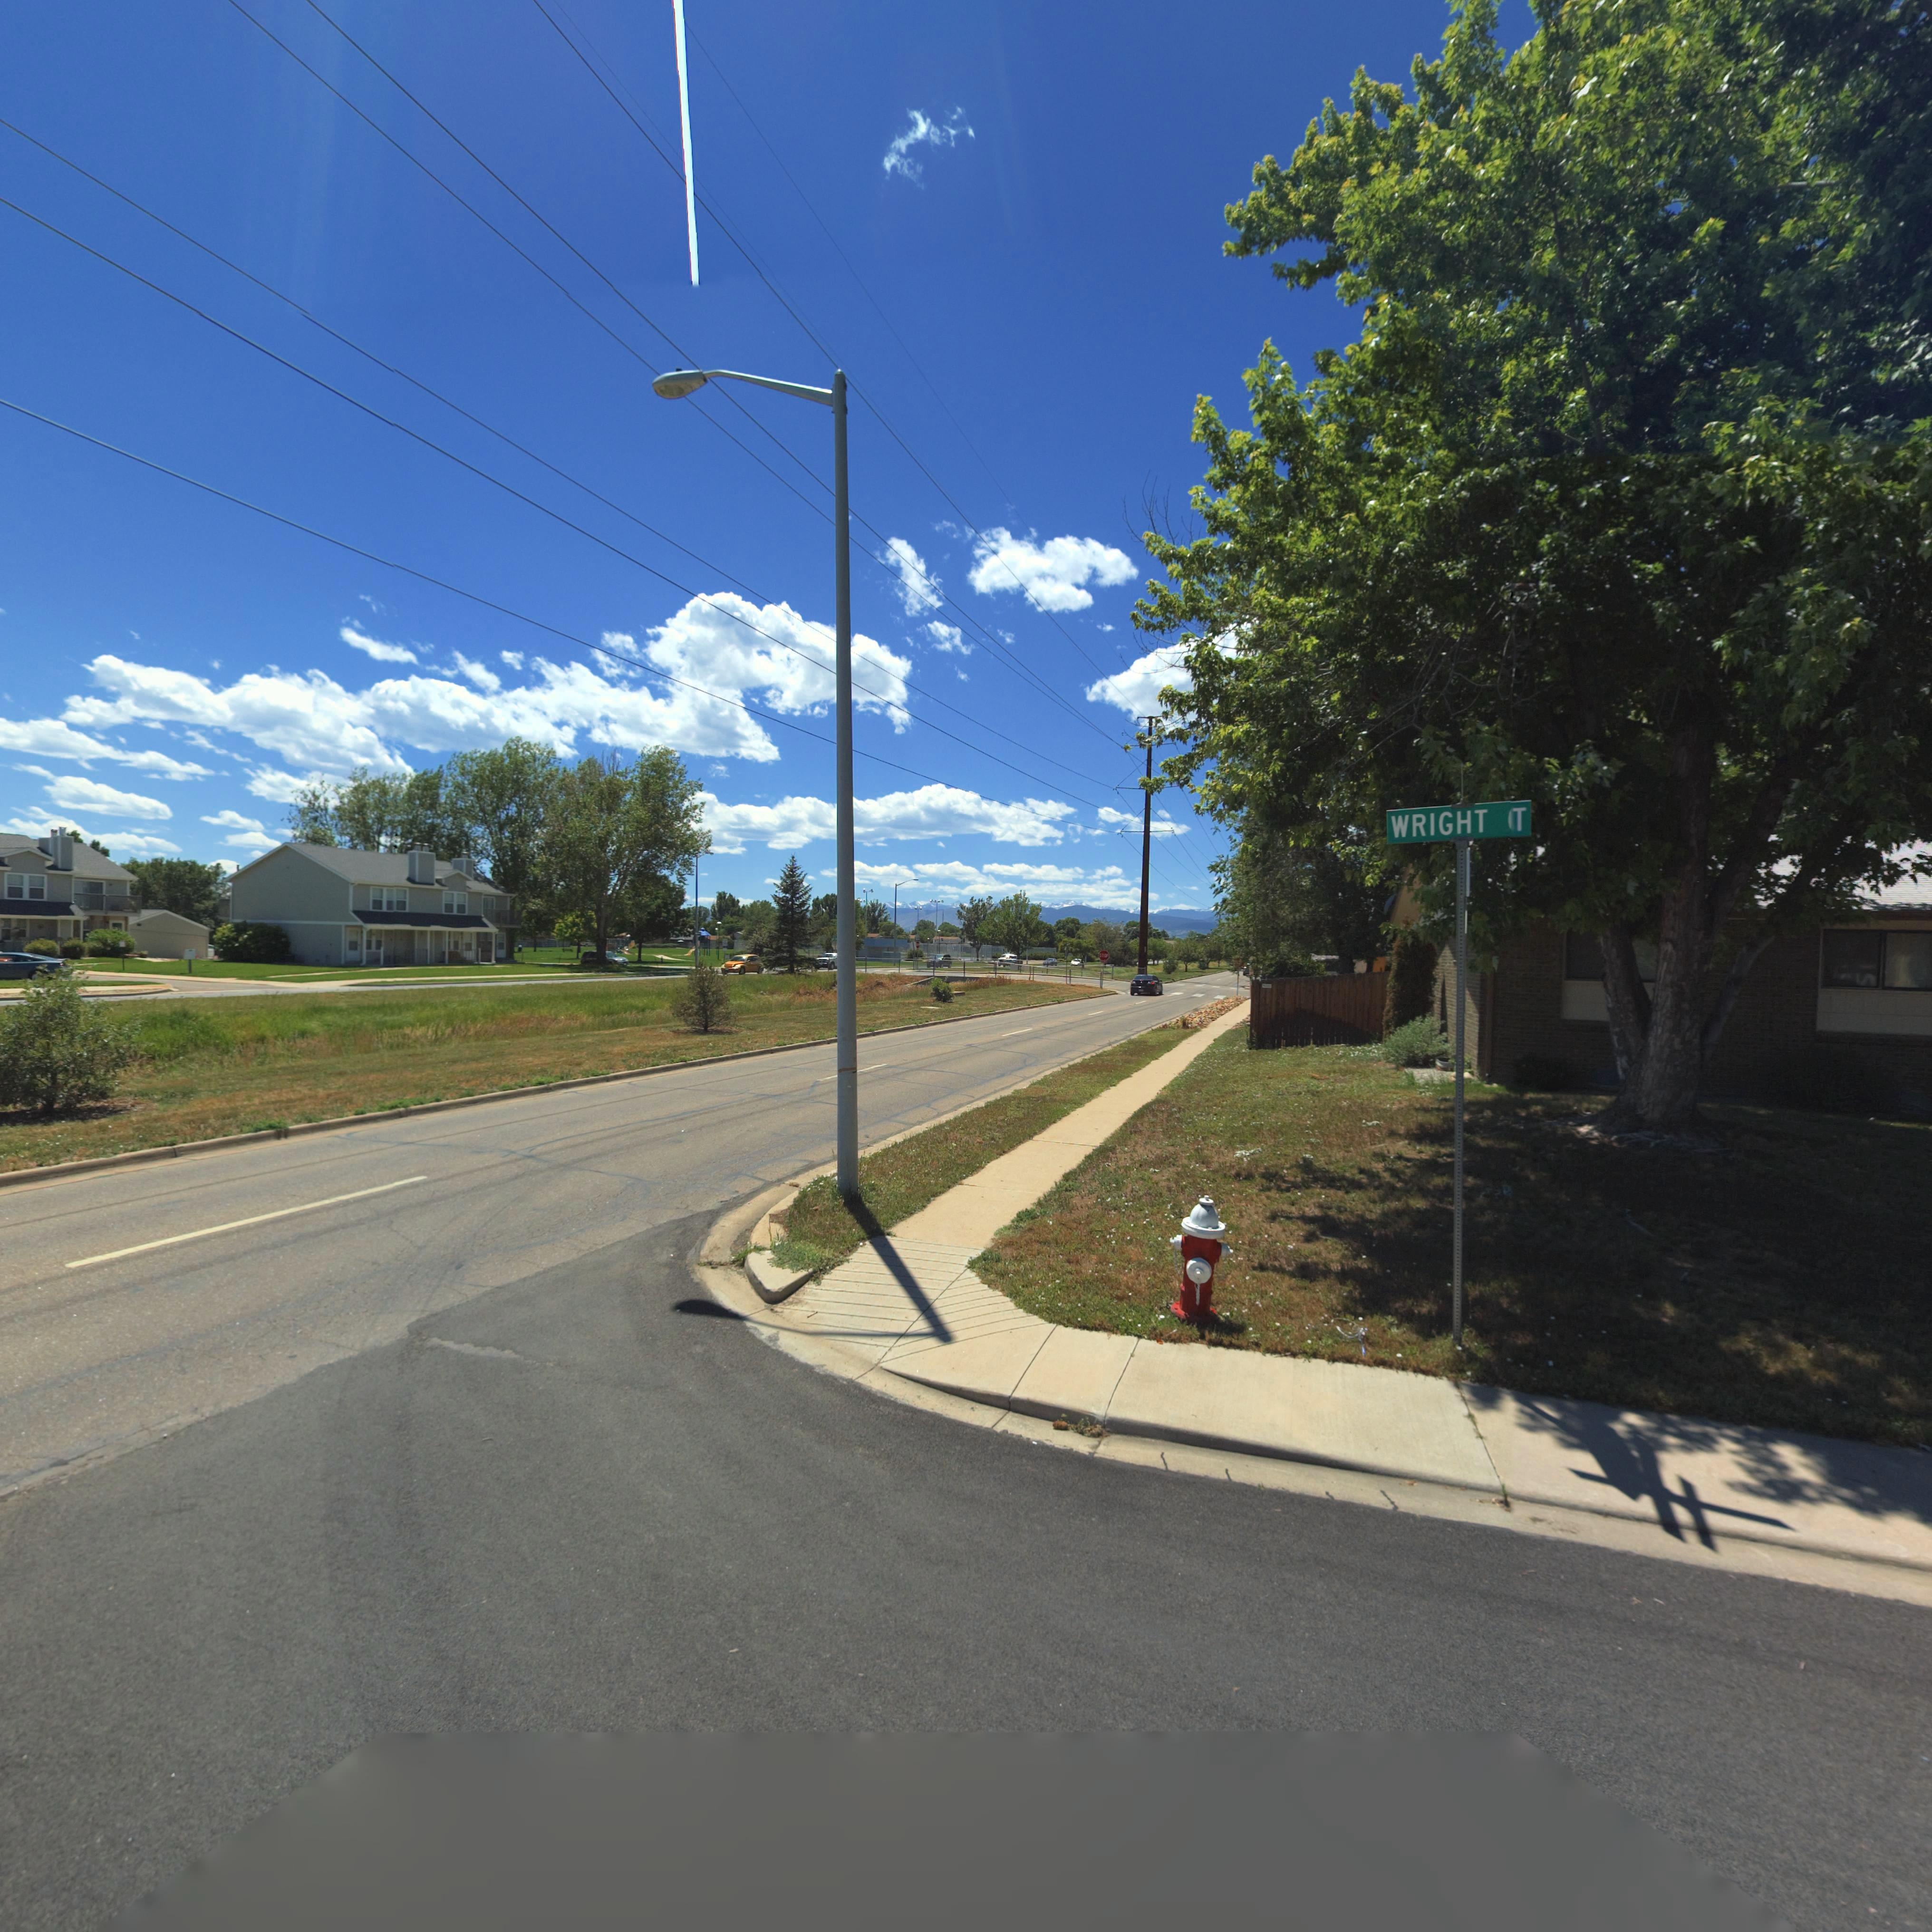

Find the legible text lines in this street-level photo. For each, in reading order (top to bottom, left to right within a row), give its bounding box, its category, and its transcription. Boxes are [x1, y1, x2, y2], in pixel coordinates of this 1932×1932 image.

[1390, 807, 1527, 838] StreetName: WRIGHT *T